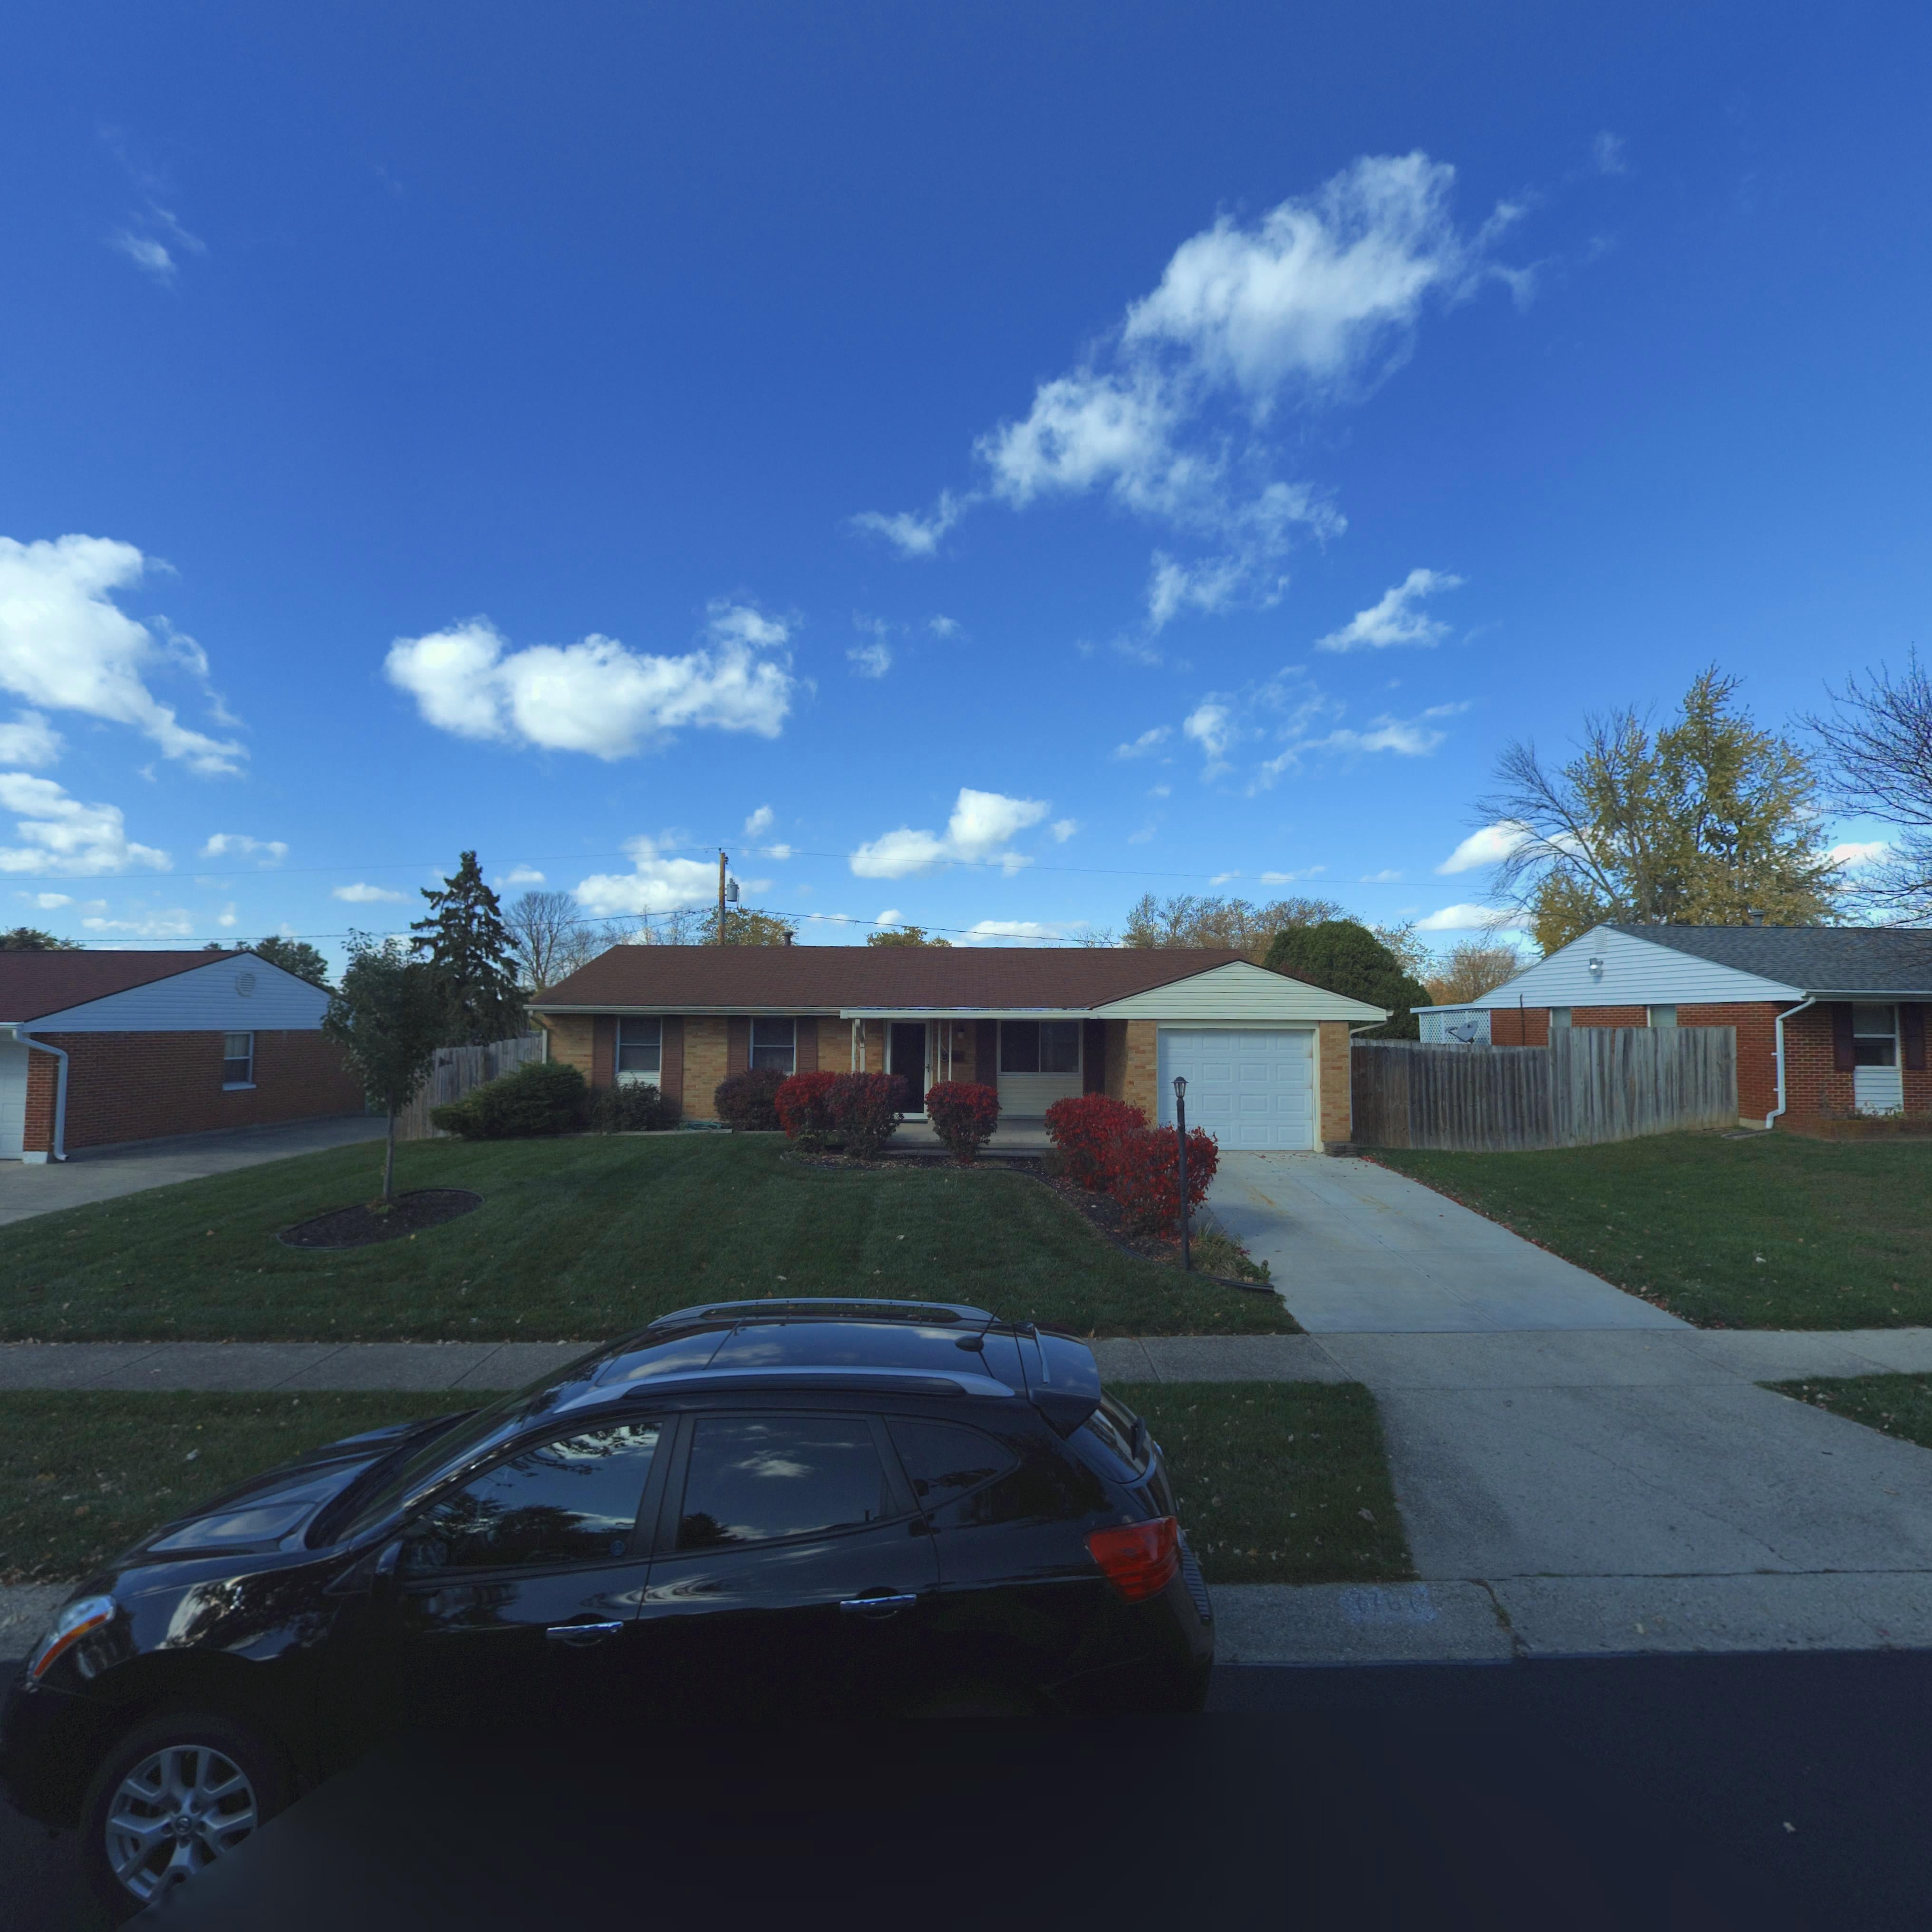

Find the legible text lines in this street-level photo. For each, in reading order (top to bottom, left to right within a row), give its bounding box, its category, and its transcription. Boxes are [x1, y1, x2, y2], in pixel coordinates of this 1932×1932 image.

[1348, 1588, 1419, 1615] StreetNumber: 7767